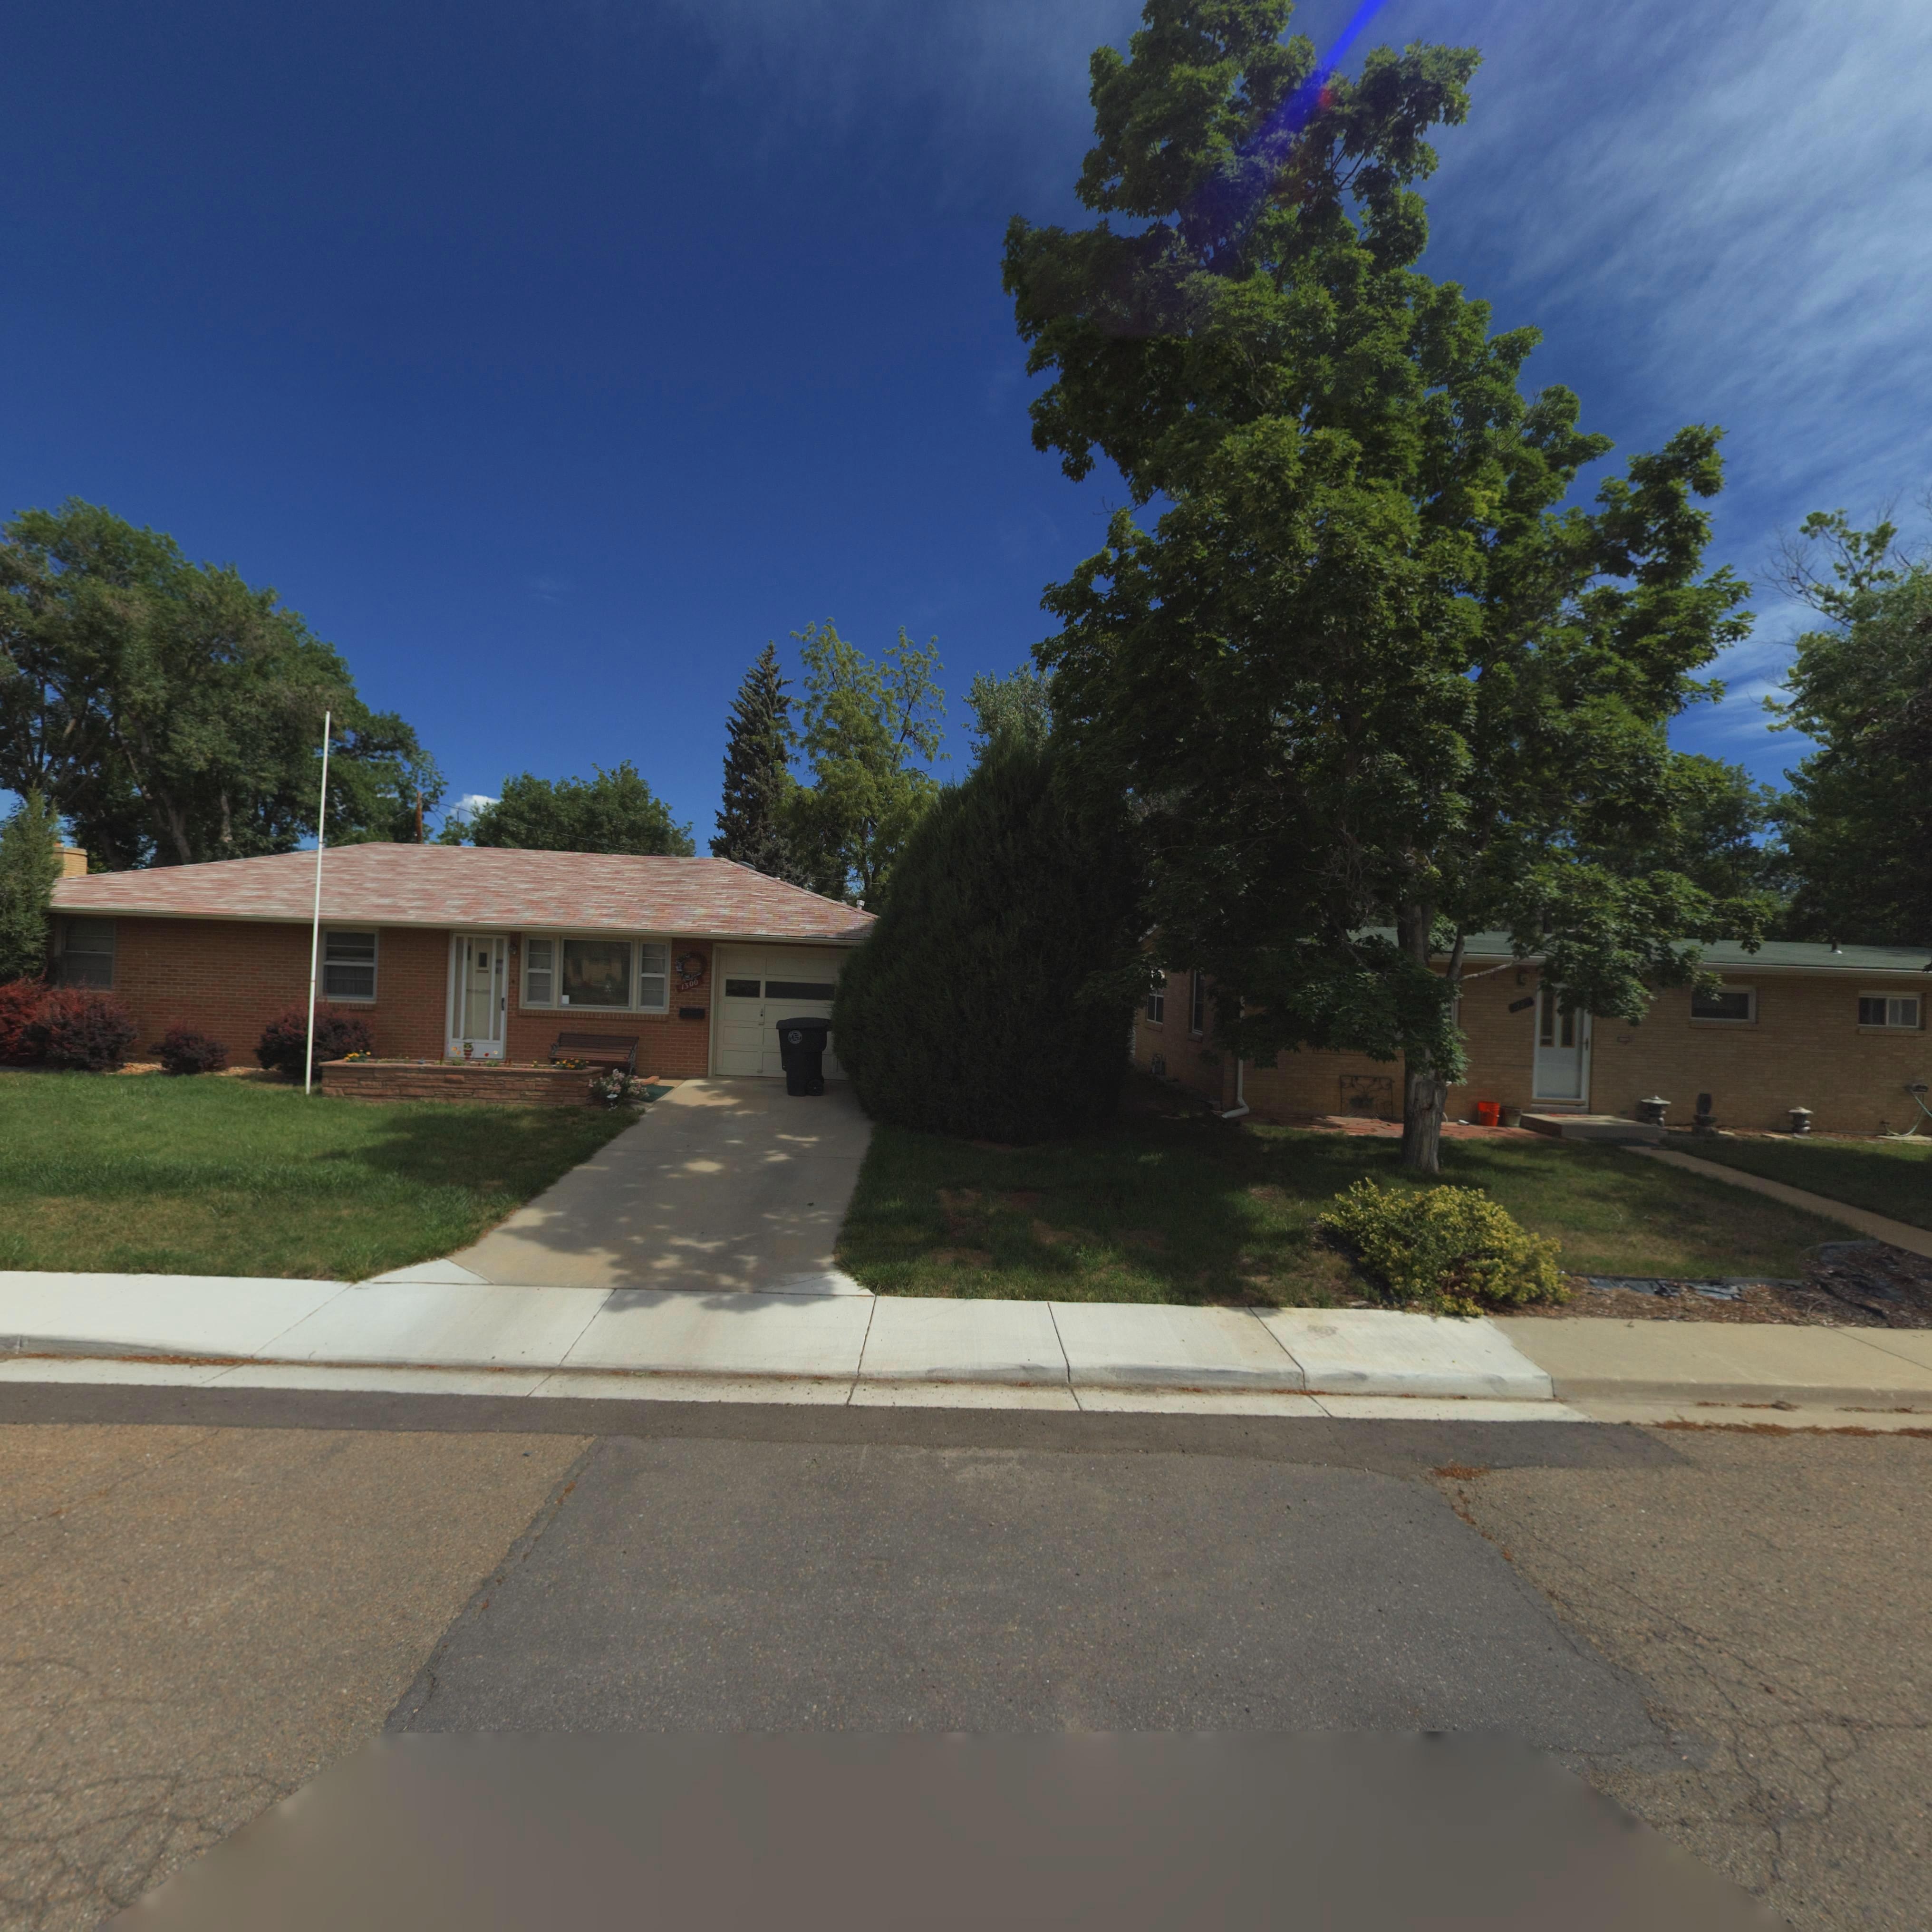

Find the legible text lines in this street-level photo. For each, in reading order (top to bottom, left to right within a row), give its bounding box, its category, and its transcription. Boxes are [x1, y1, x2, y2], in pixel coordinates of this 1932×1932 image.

[681, 978, 698, 991] StreetNumber: 1300
[1515, 997, 1532, 1010] StreetNumber: 12***